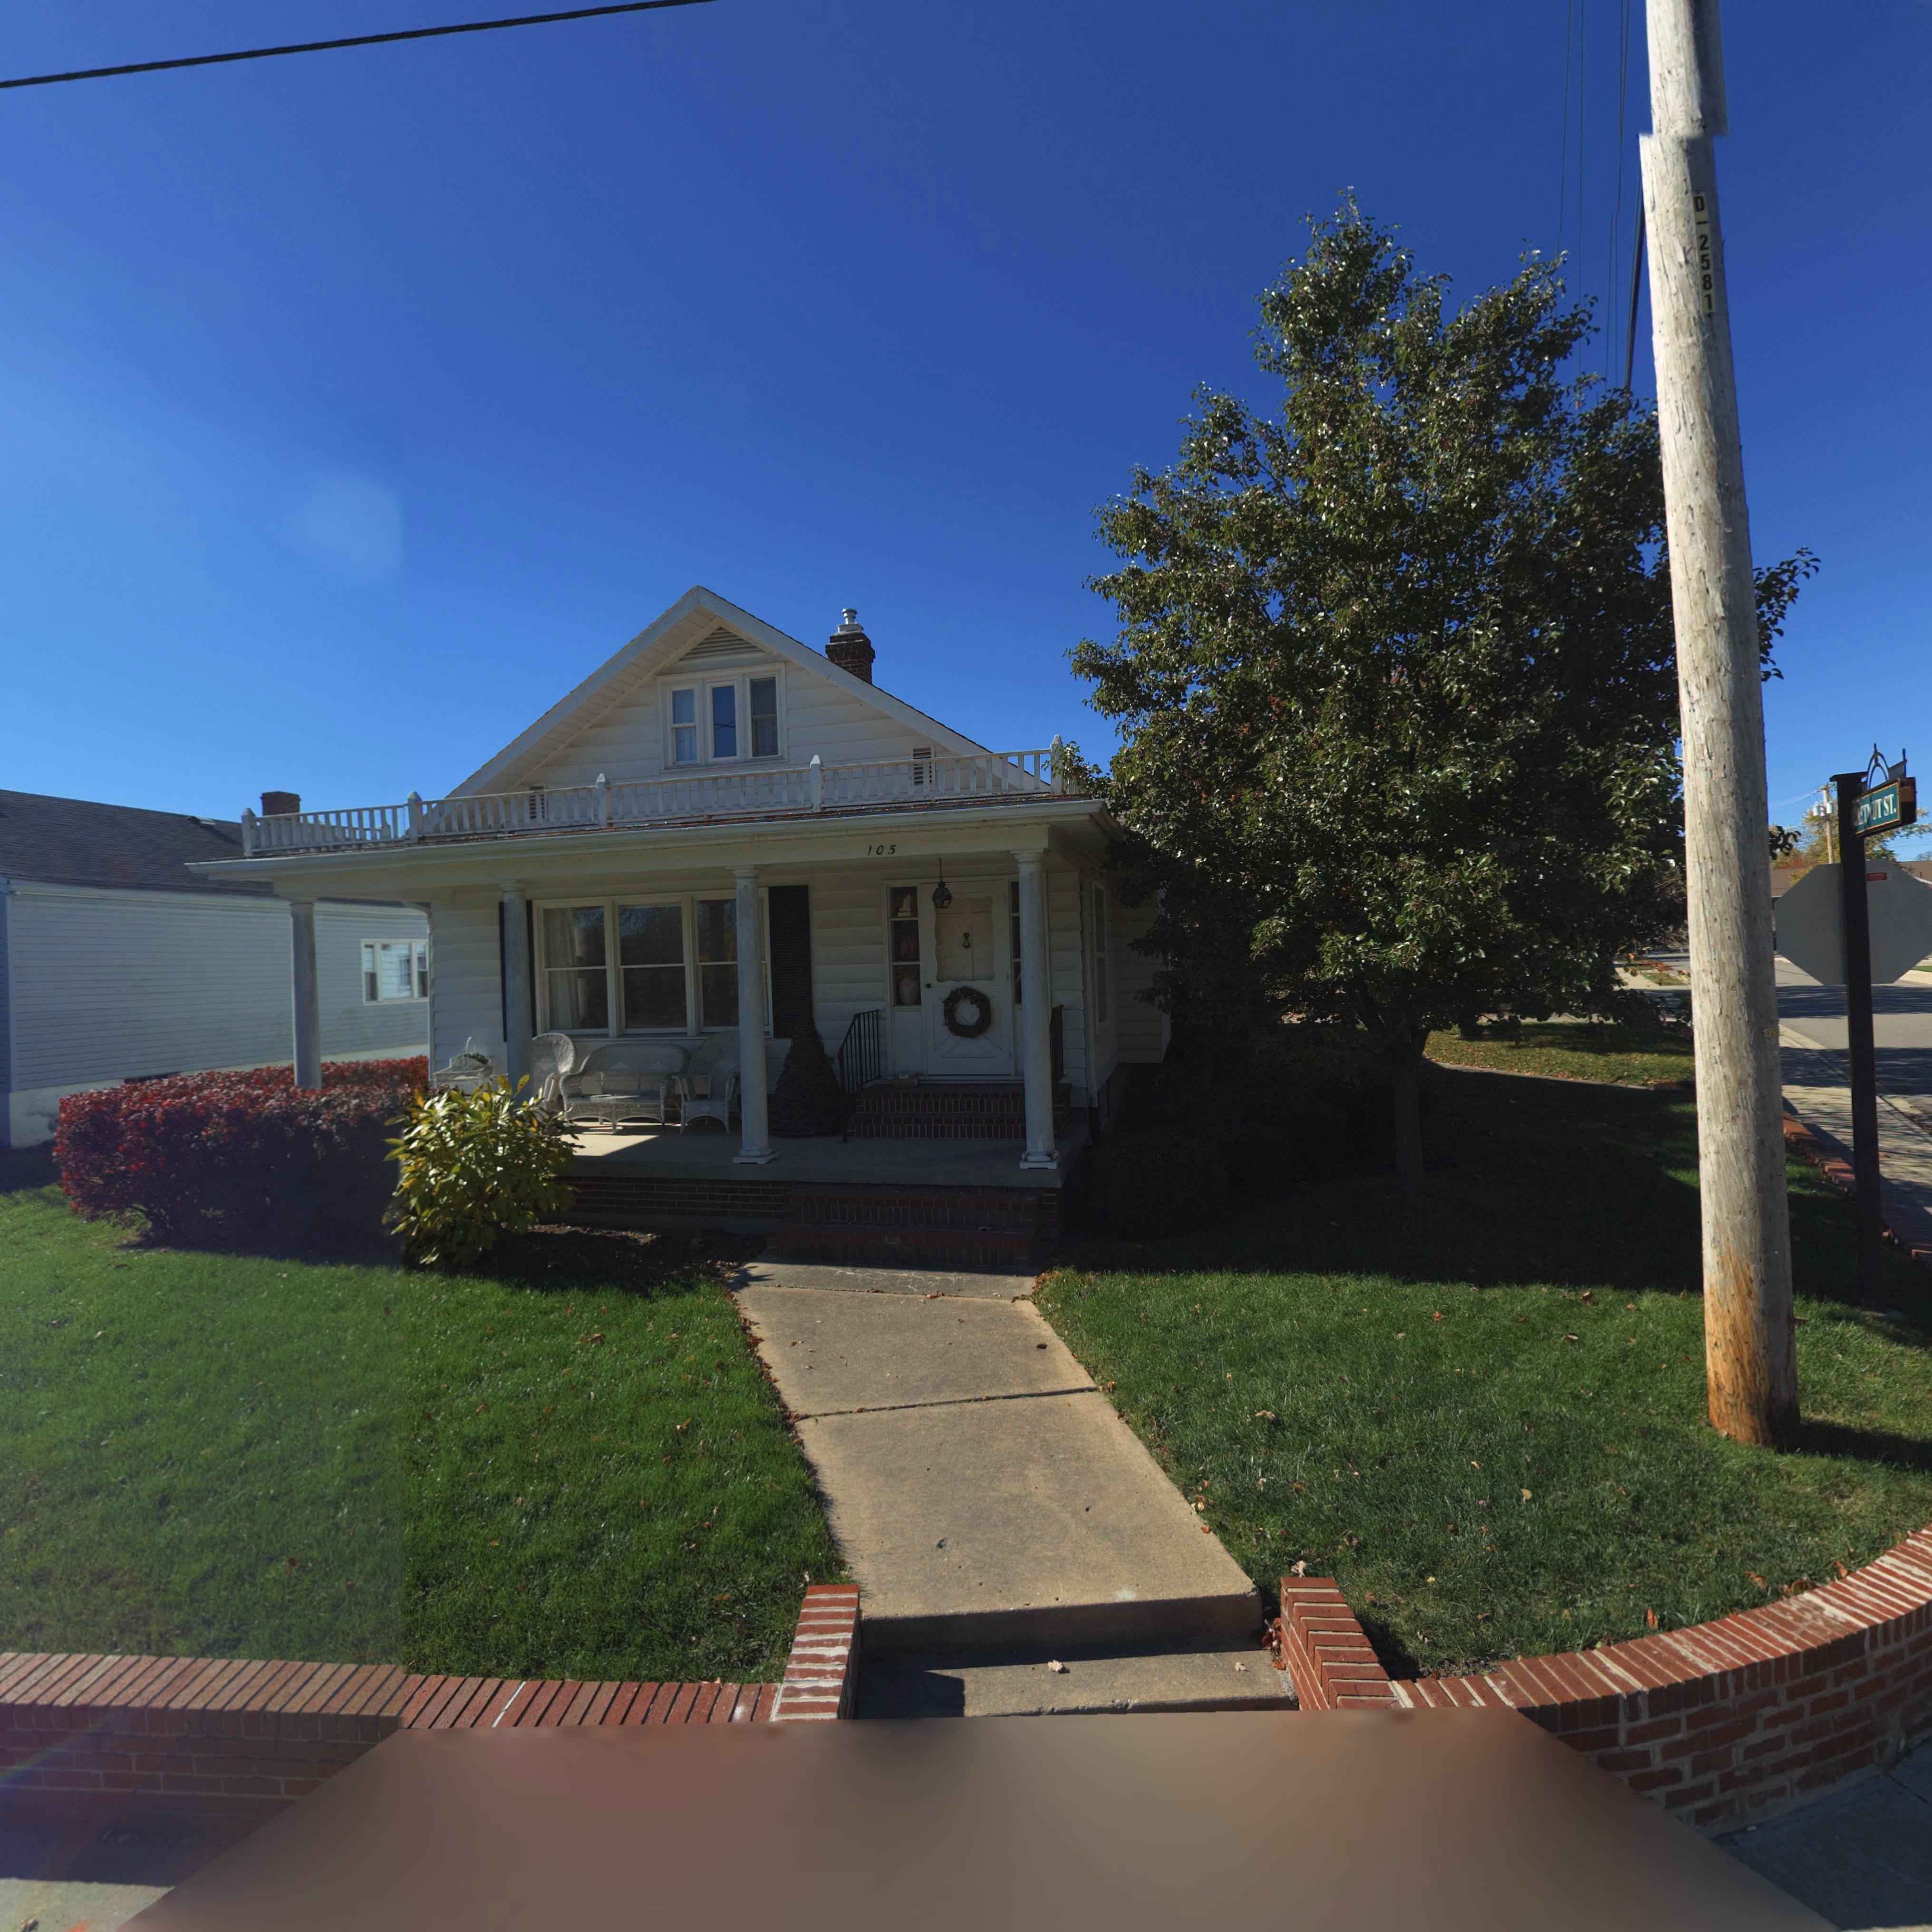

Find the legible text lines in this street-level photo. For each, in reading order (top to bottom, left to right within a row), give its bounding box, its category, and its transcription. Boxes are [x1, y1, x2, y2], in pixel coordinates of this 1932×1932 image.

[1882, 792, 1897, 818] StreetName: ST.
[866, 843, 898, 856] StreetNumber: 105